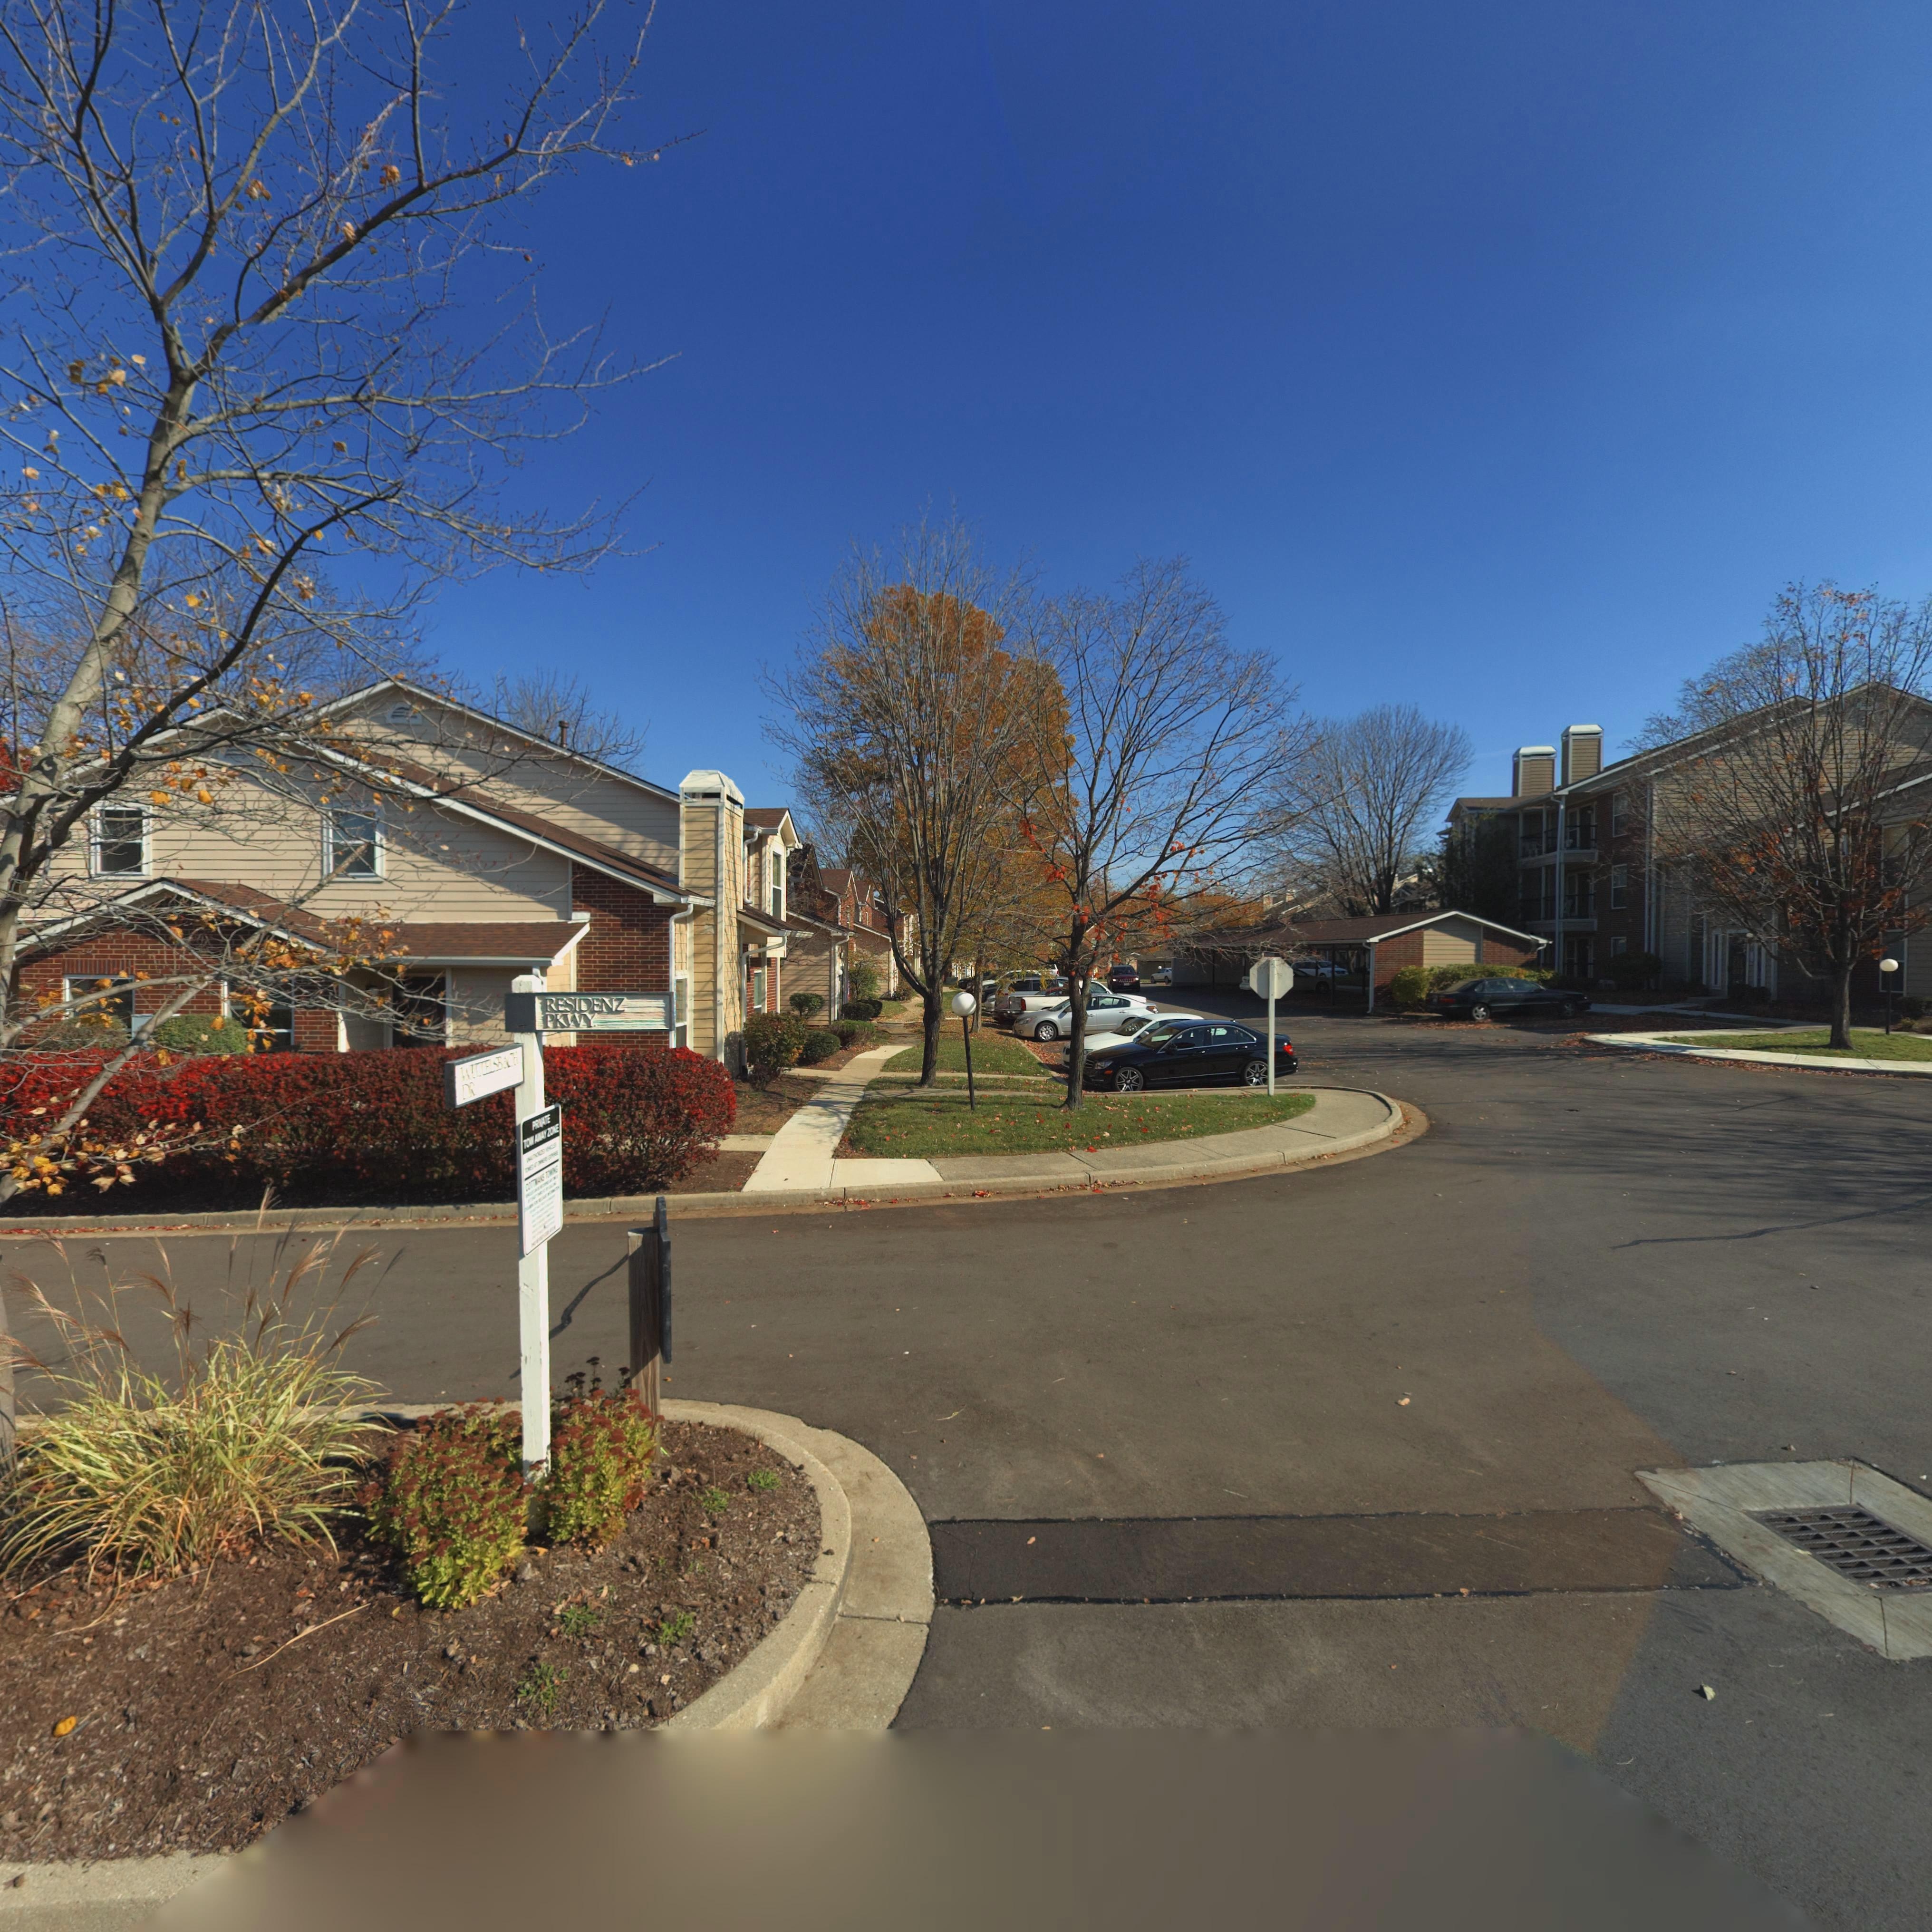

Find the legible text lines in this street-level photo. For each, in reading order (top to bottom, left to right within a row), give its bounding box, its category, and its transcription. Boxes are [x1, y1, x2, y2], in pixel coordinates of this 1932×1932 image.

[544, 996, 626, 1013] StreetName: RESIDENZ
[544, 1012, 600, 1029] StreetName: PKWY
[531, 1111, 552, 1132] None: PRIVATE
[522, 1121, 560, 1151] None: TOW AWAY ZONE